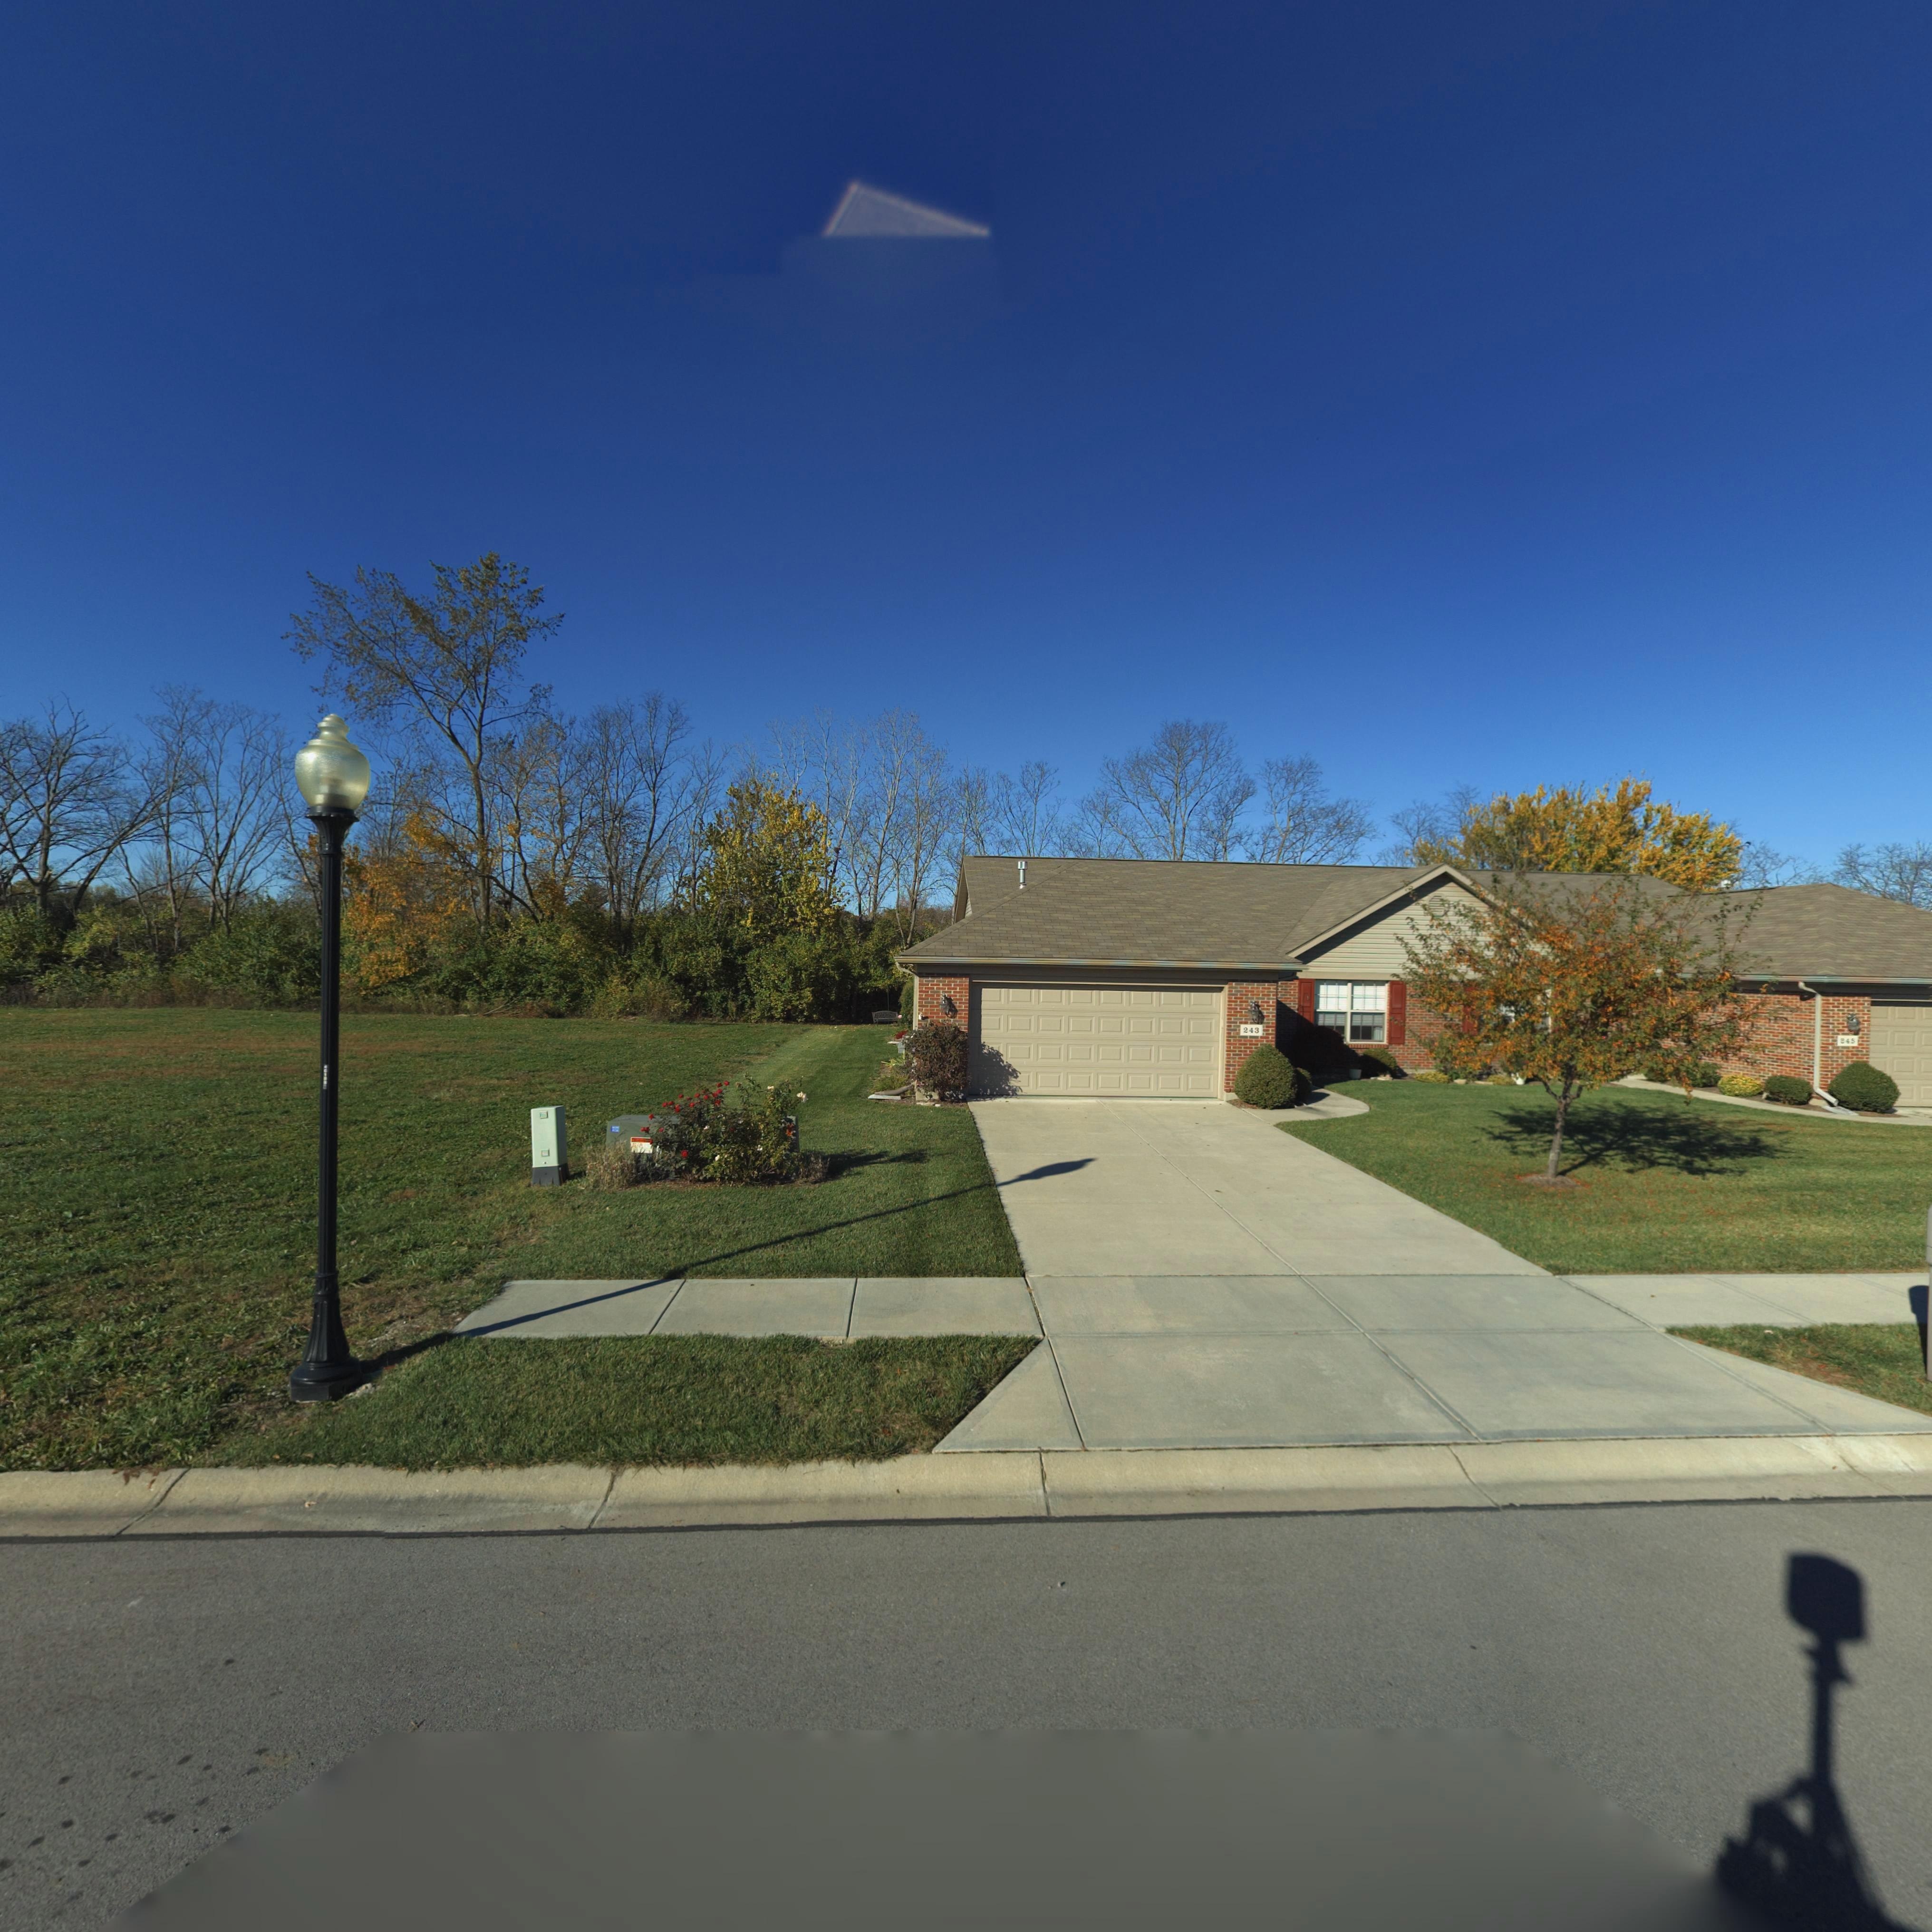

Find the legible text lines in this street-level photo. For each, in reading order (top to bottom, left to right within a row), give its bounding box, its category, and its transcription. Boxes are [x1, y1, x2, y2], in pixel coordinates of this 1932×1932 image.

[1242, 1025, 1260, 1034] StreetNumber: 243
[1839, 1037, 1856, 1045] StreetNumber: 245